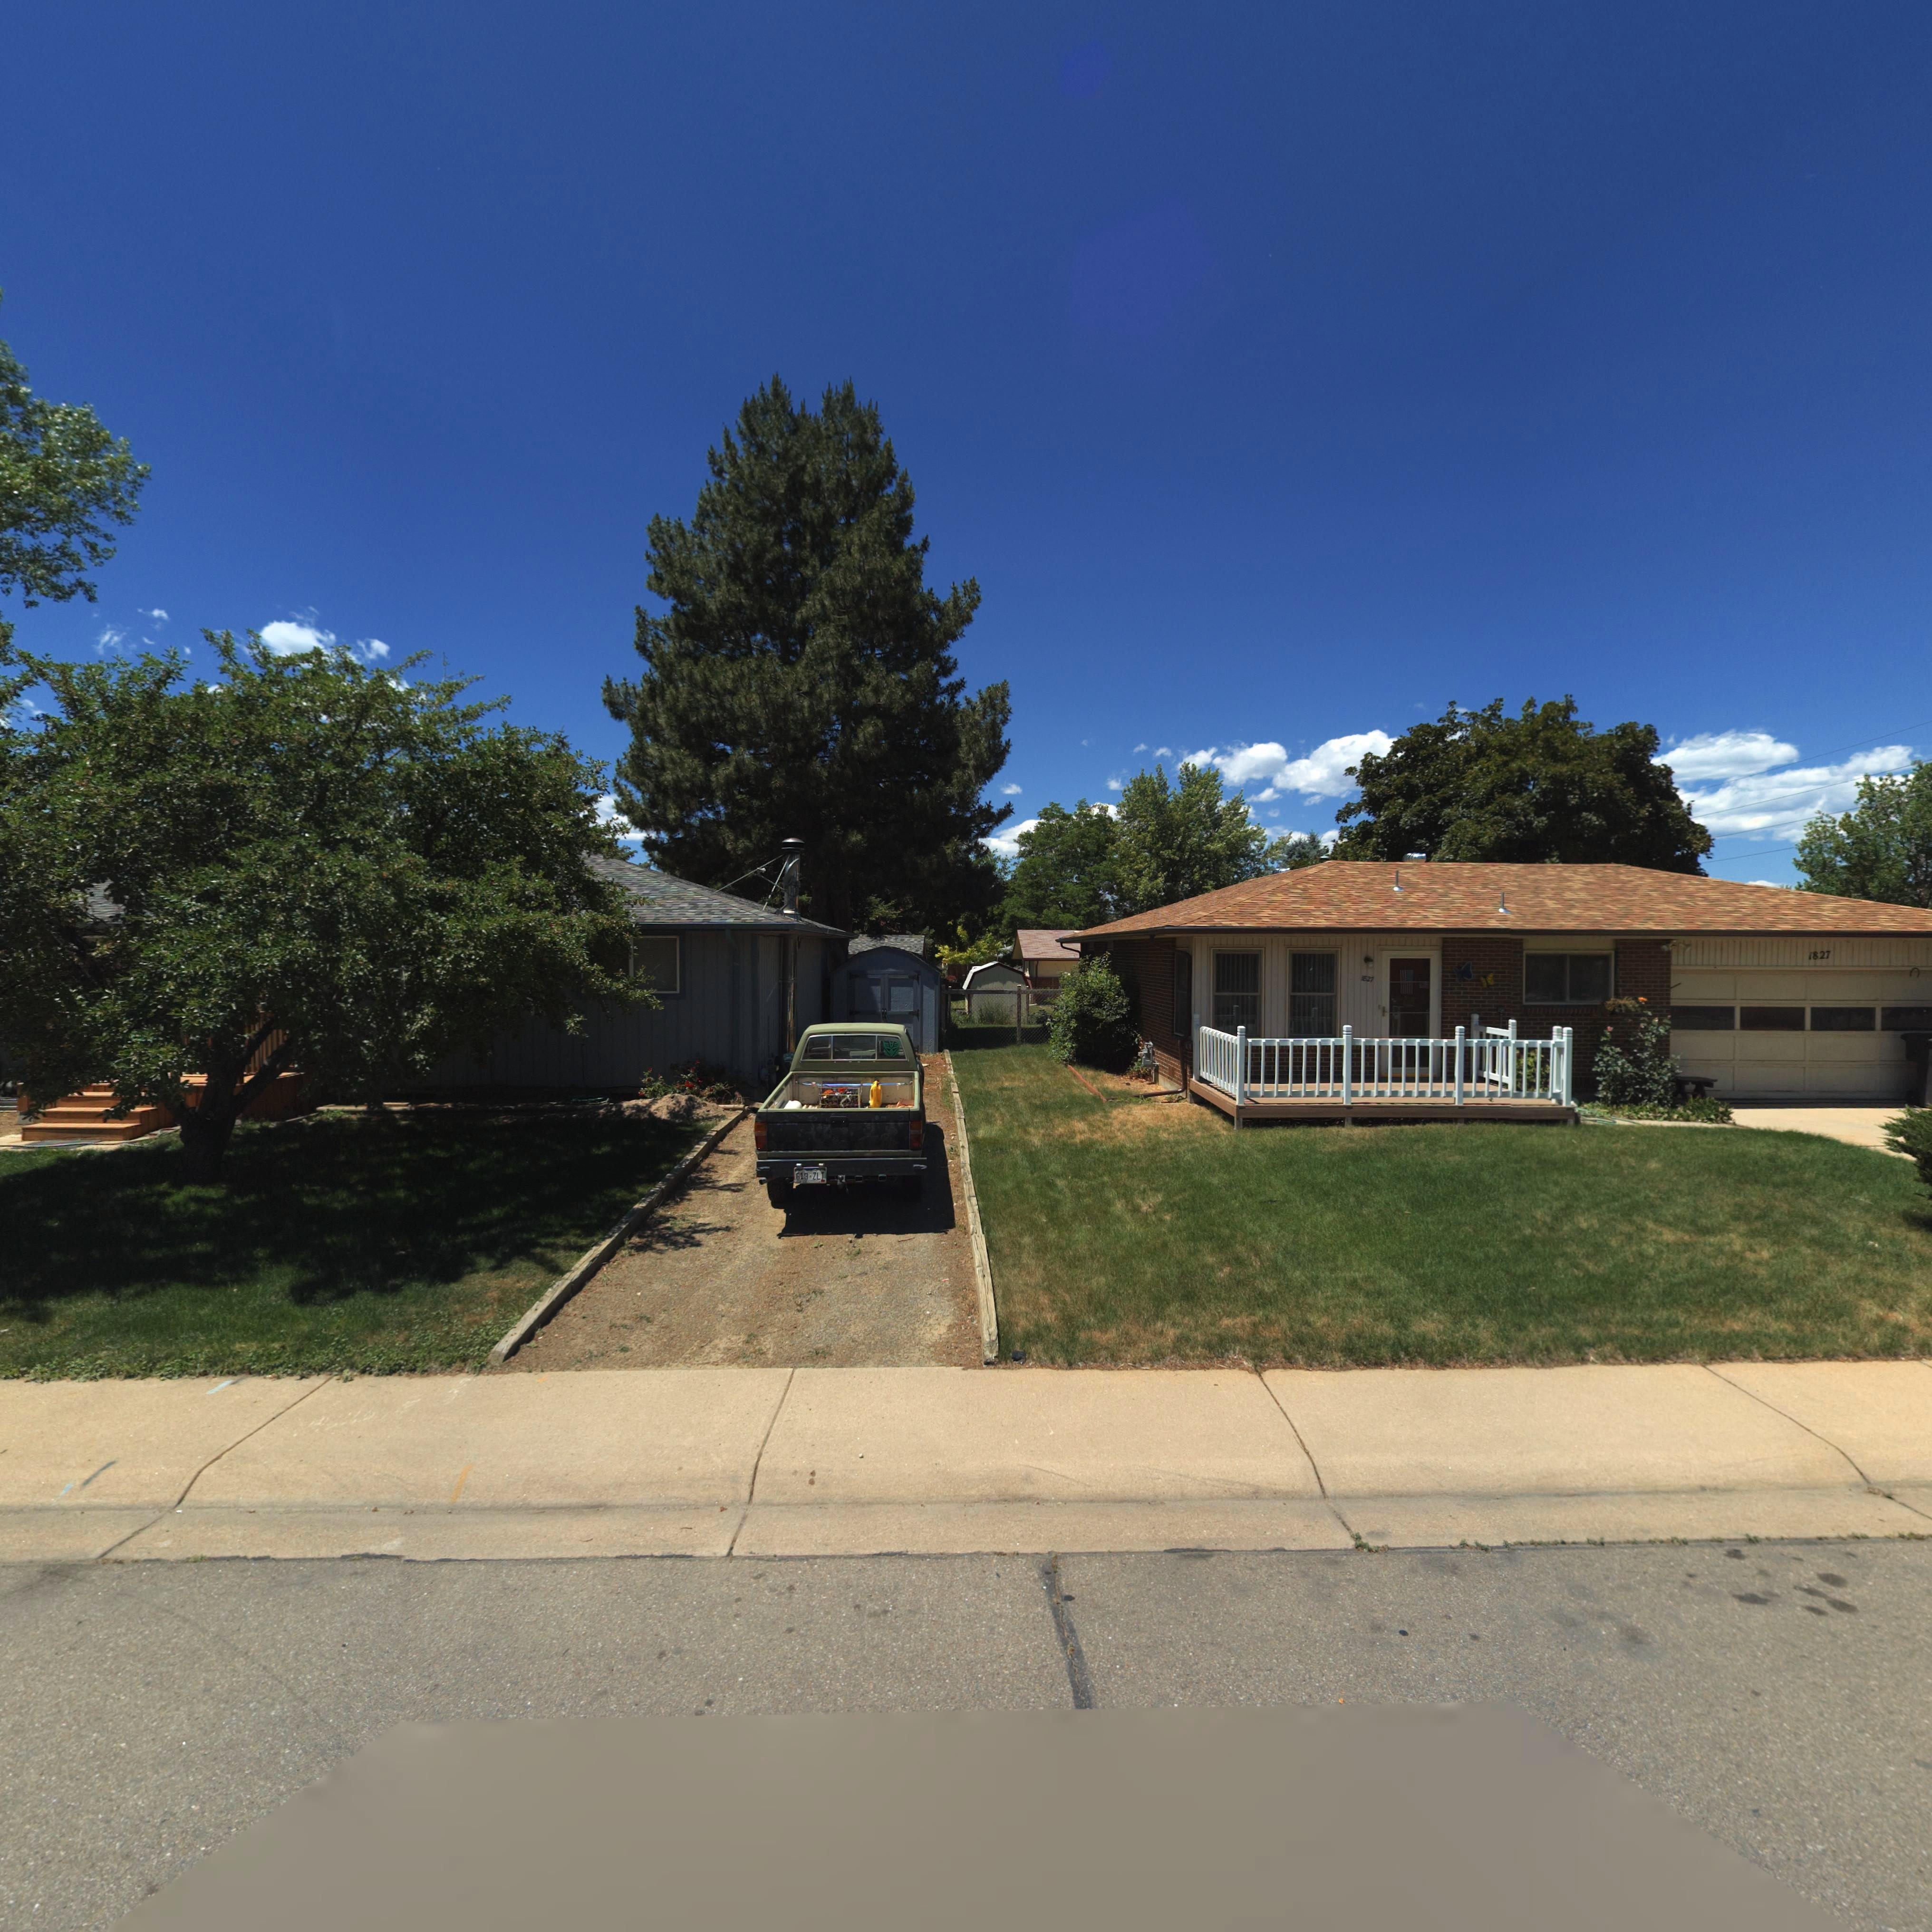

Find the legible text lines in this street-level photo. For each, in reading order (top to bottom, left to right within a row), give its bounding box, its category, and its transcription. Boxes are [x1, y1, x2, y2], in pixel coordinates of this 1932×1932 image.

[1808, 950, 1831, 960] StreetNumber: 1827
[1361, 975, 1375, 983] StreetNumber: 1827